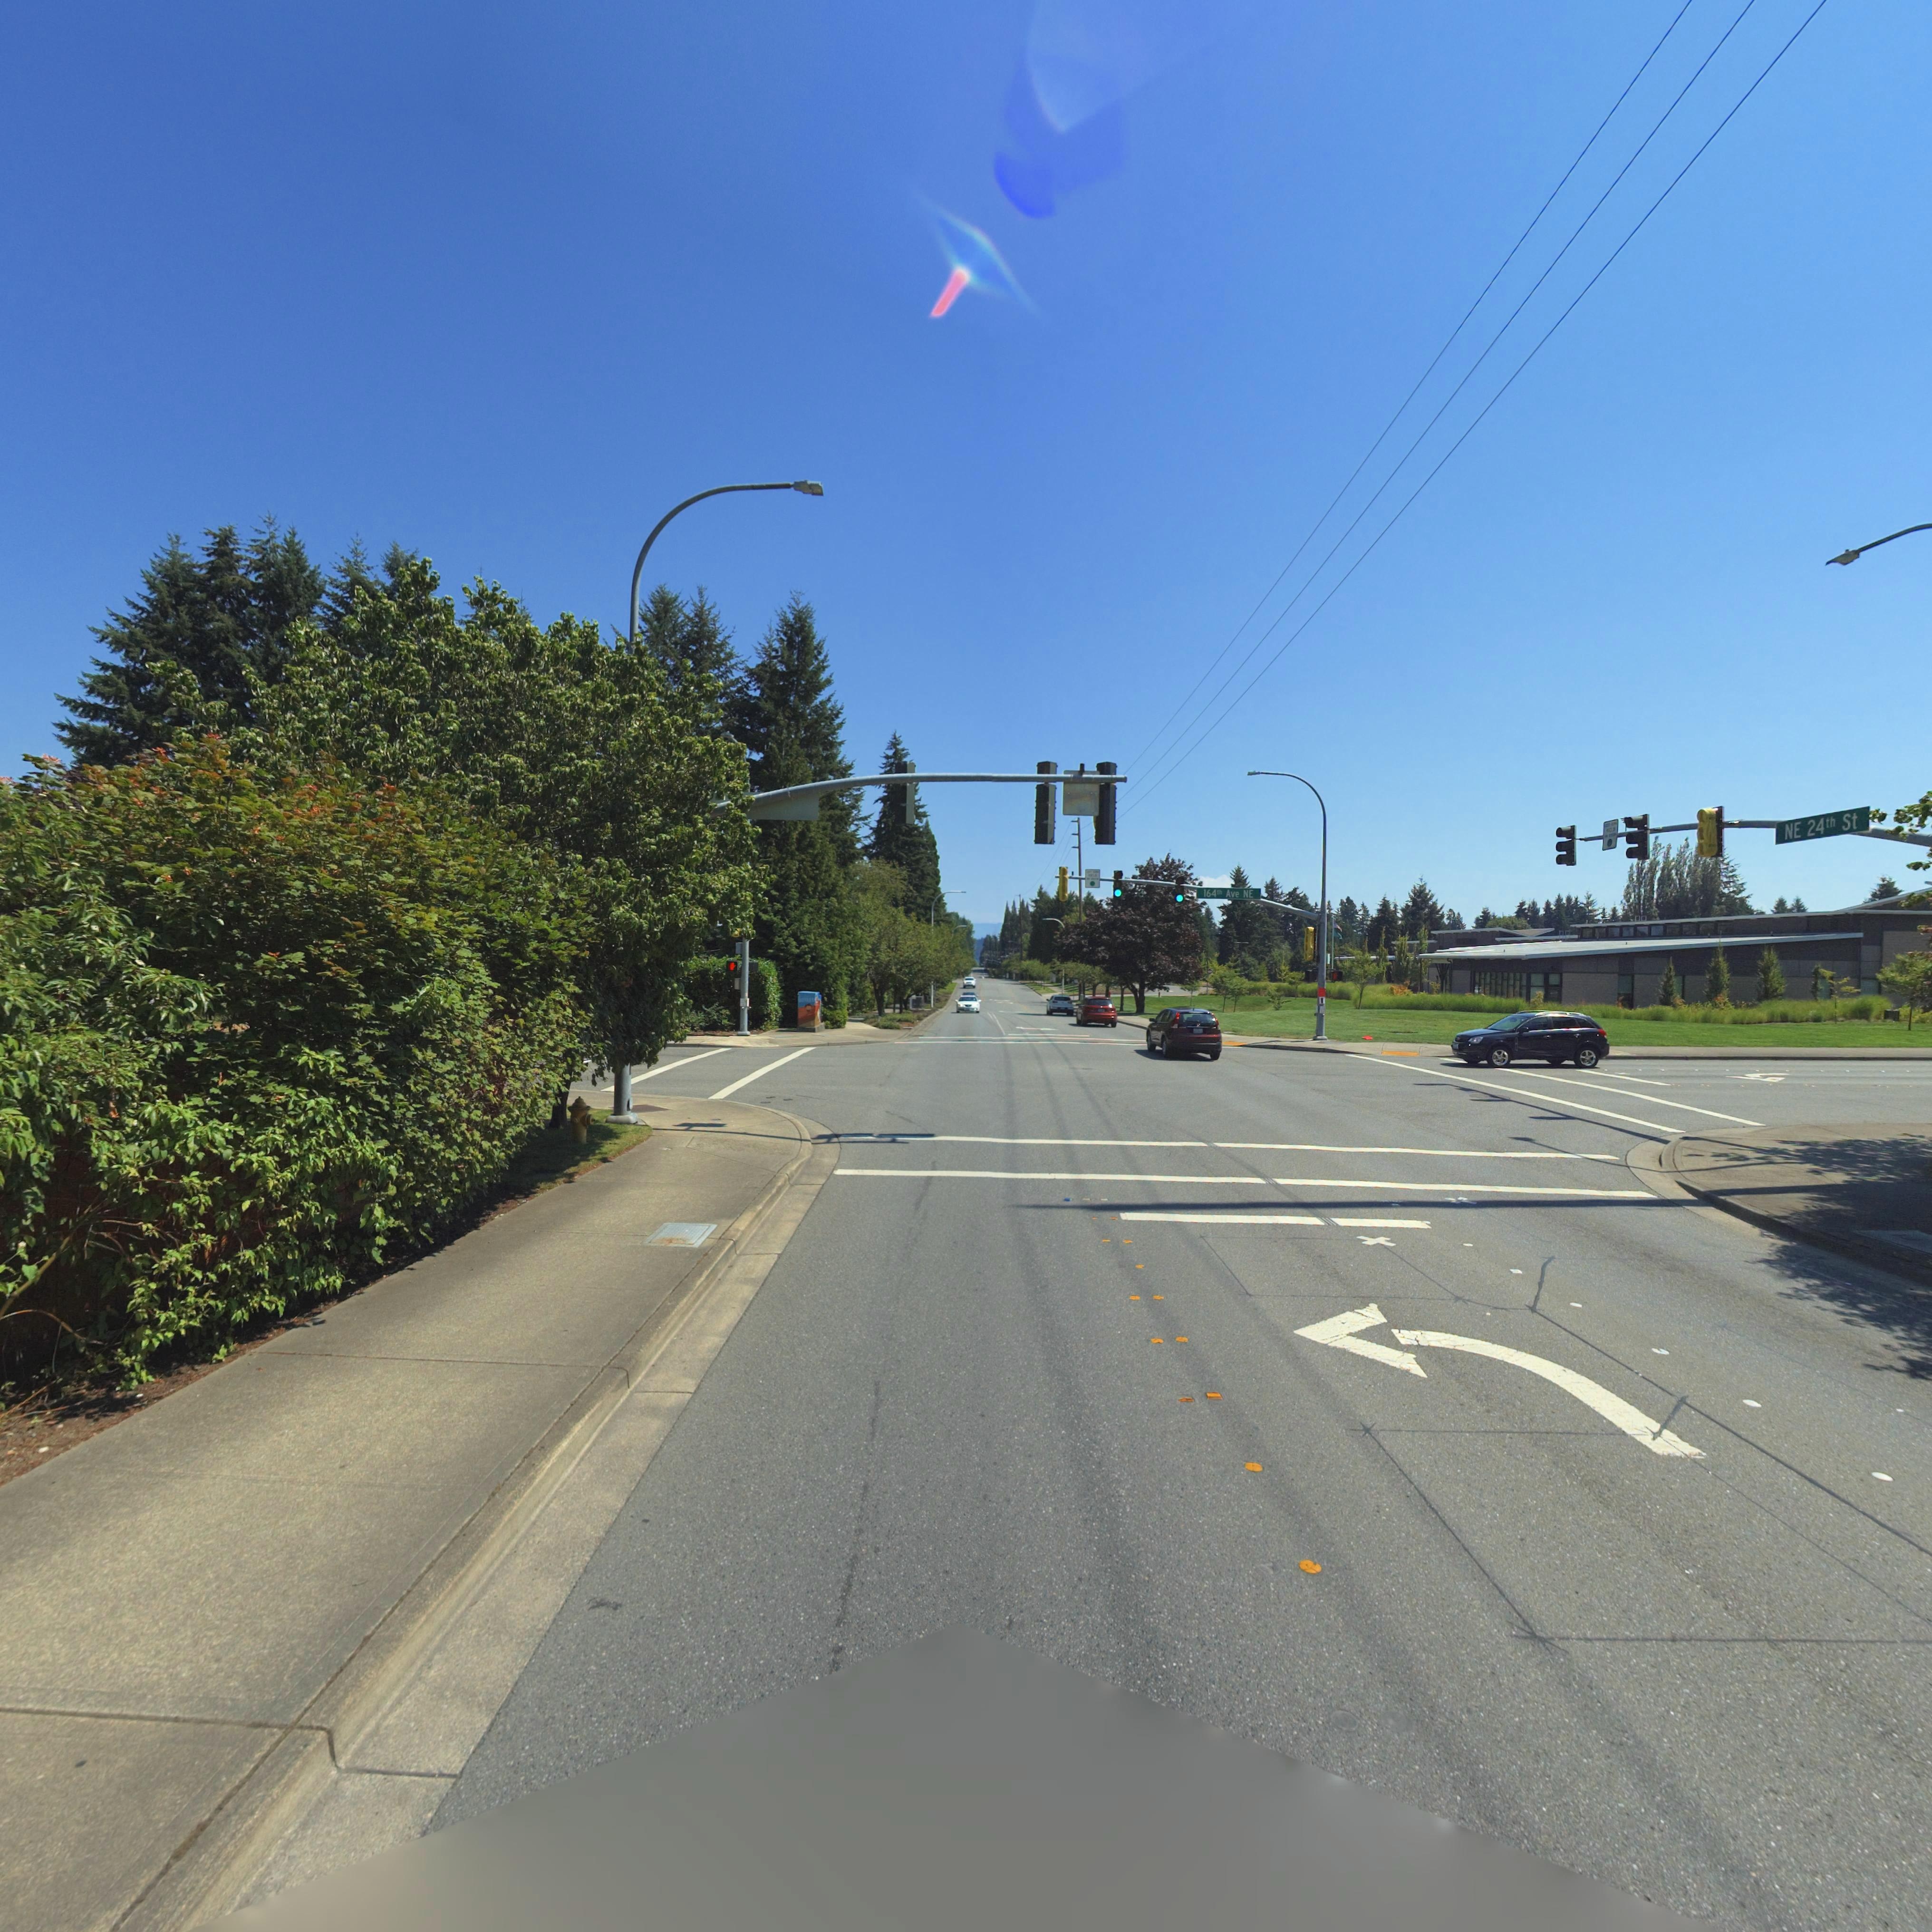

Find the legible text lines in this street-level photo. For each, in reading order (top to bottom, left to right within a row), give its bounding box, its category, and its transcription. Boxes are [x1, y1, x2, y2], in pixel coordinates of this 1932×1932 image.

[1784, 811, 1857, 840] StreetName: NE 24th St
[1204, 889, 1254, 898] StreetName: 164th Ave NE